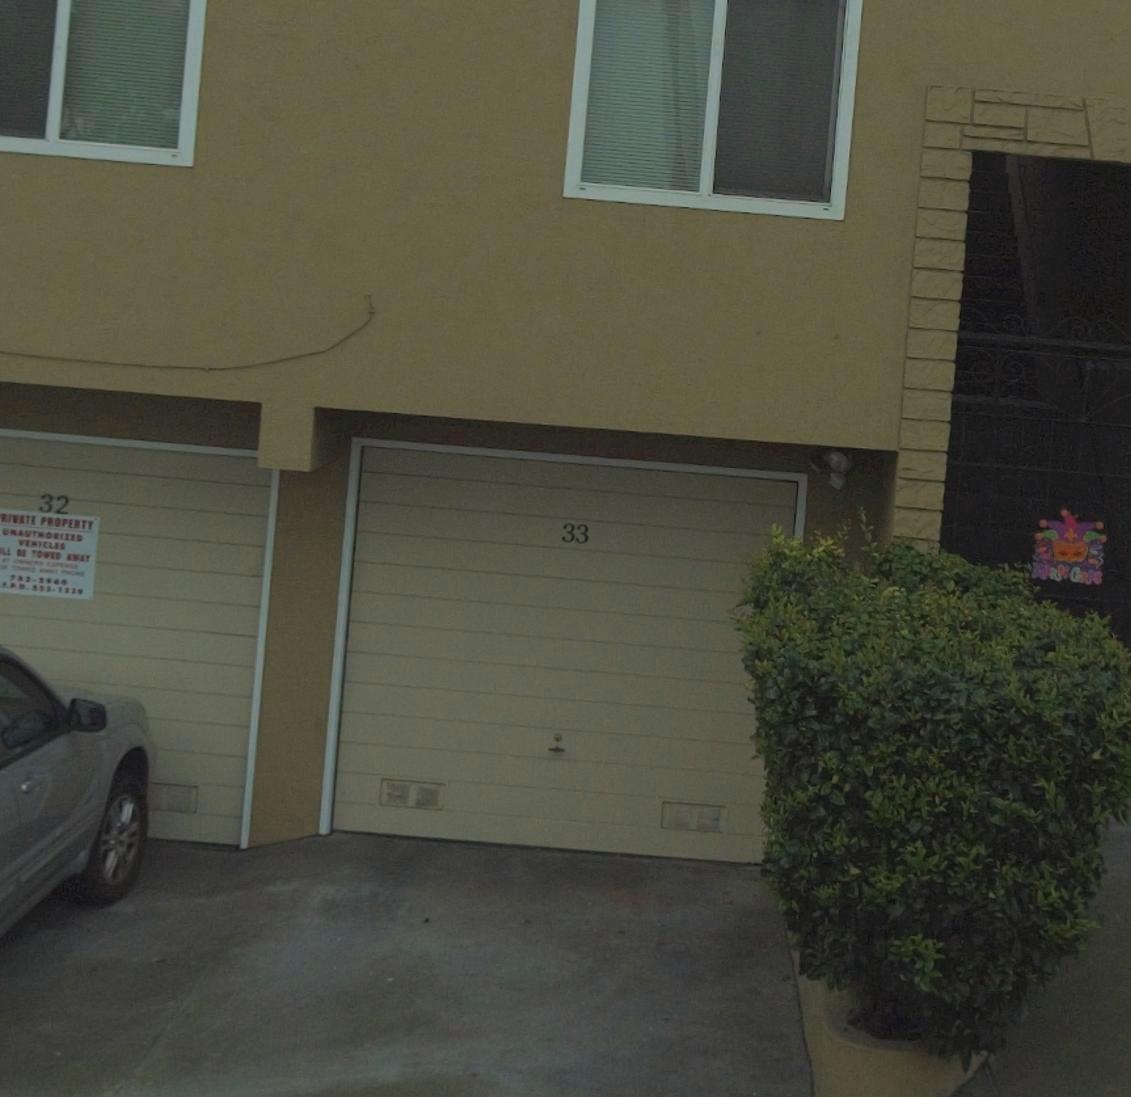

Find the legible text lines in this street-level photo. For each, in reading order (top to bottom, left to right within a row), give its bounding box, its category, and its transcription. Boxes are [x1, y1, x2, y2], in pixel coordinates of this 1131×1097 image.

[37, 490, 72, 516] StreetNumber: 32
[0, 512, 96, 531] None: RIVATE PROPERTY
[16, 538, 66, 550] None: VEHICLES
[1, 527, 85, 543] None: UNAUTHORIZED
[559, 520, 590, 546] StreetNumber: 33
[15, 547, 92, 563] None: BE TOWED AWAY